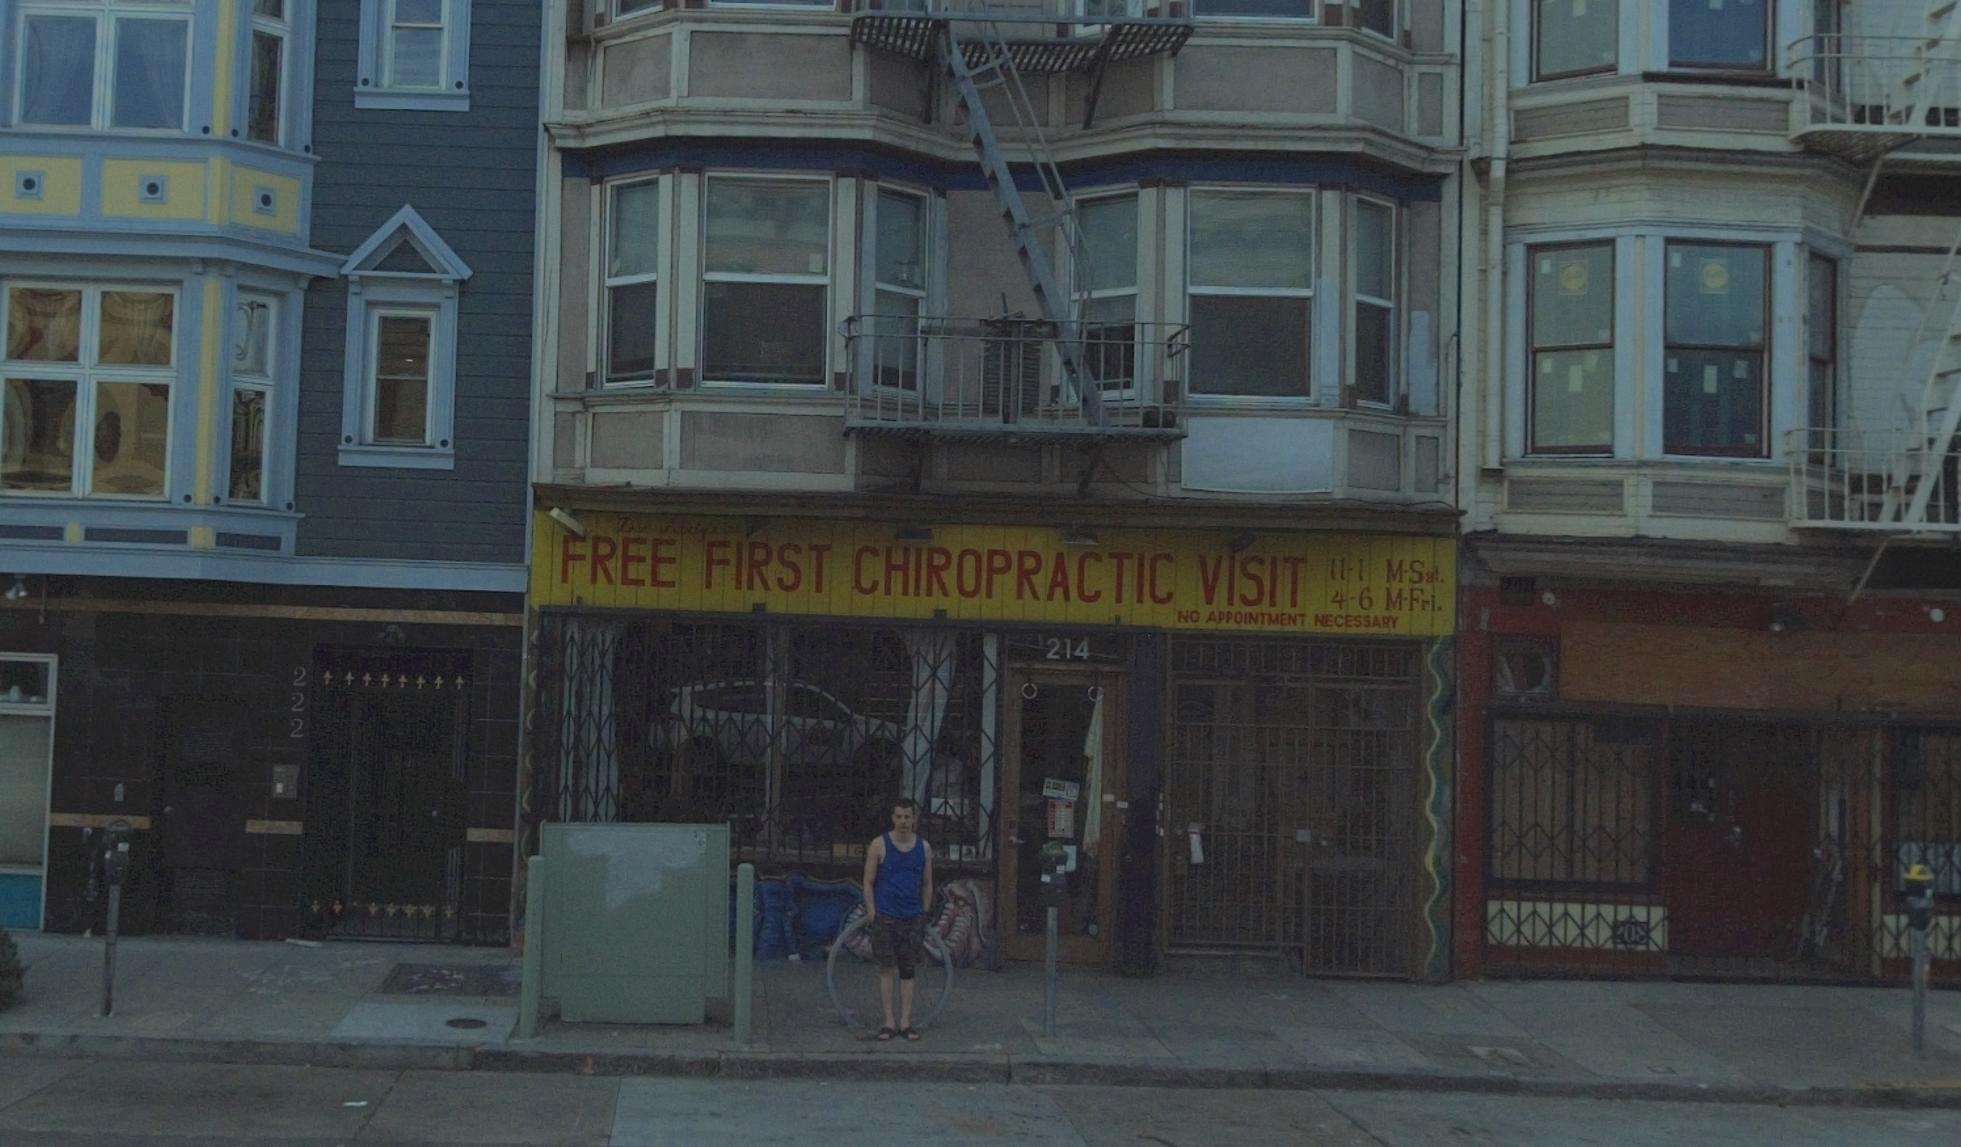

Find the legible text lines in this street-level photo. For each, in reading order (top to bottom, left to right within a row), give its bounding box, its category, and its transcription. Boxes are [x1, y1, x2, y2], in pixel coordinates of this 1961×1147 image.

[555, 527, 1313, 612] BusinessName: FREE FIRST CHIROPRACTIC VISIT
[1327, 554, 1450, 587] None: 11-1 M-Sat.
[1326, 584, 1446, 613] None: 4-6 M-Fri.
[1174, 606, 1404, 631] None: NO APPOINTMENT NECESSARY
[1043, 634, 1094, 662] StreetNumber: 214
[286, 661, 310, 741] StreetNumber: 222